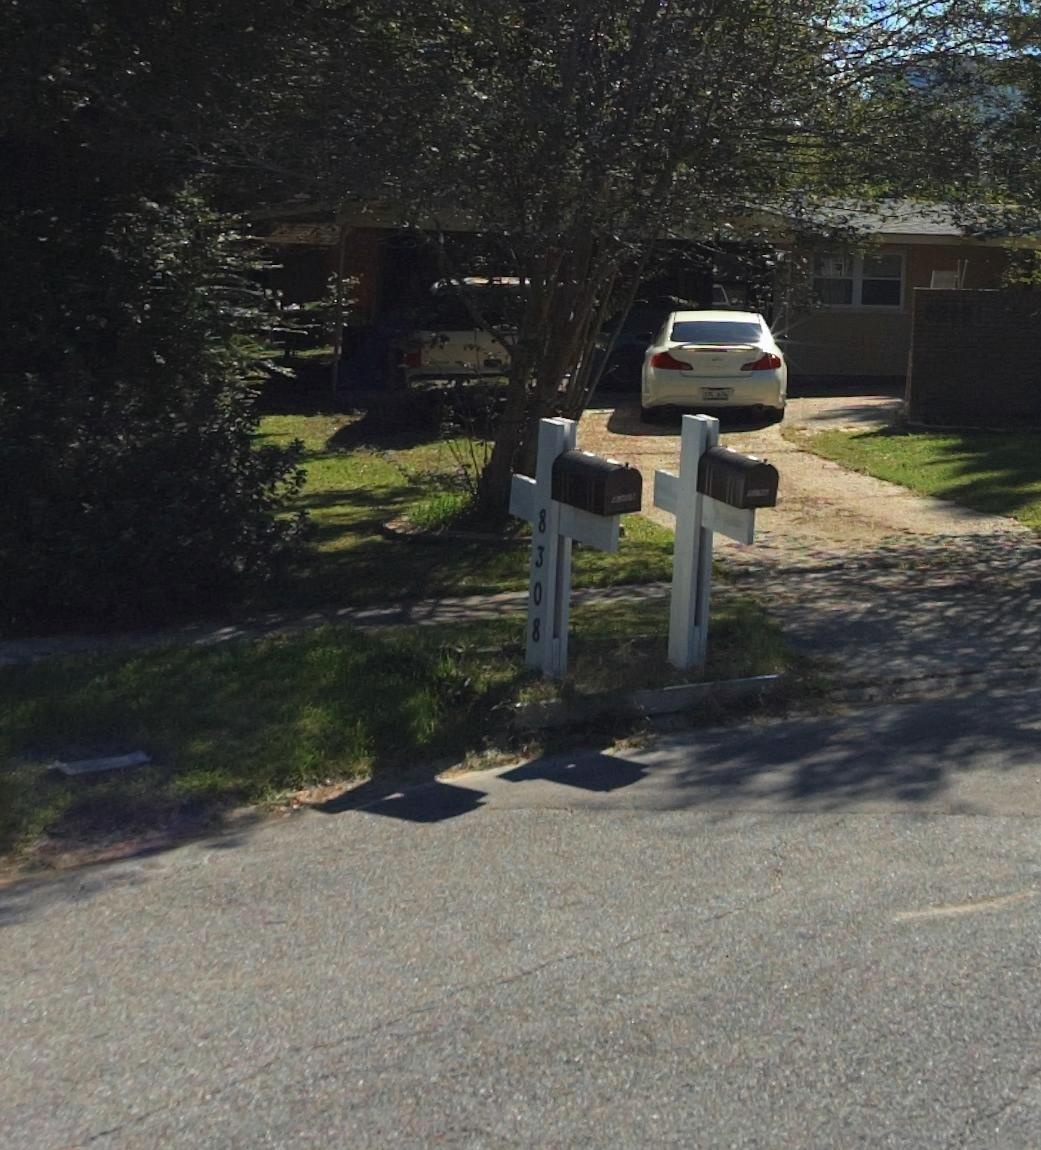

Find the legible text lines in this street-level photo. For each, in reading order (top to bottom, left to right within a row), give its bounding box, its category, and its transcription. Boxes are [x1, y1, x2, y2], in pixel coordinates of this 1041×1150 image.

[527, 506, 551, 647] StreetNumber: 8308